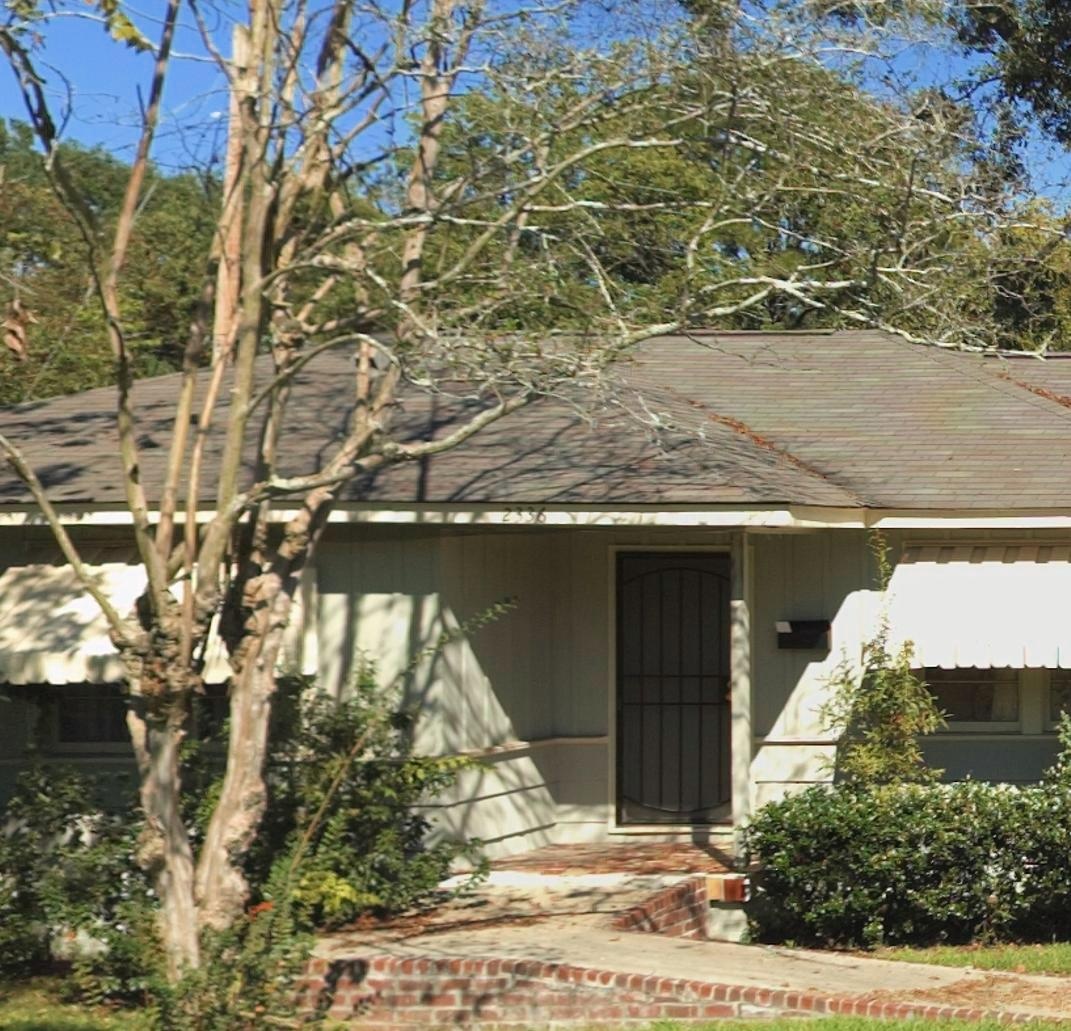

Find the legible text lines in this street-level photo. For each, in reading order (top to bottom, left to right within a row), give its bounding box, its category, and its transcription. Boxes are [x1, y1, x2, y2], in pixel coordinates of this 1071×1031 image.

[500, 506, 548, 524] StreetNumber: 2336